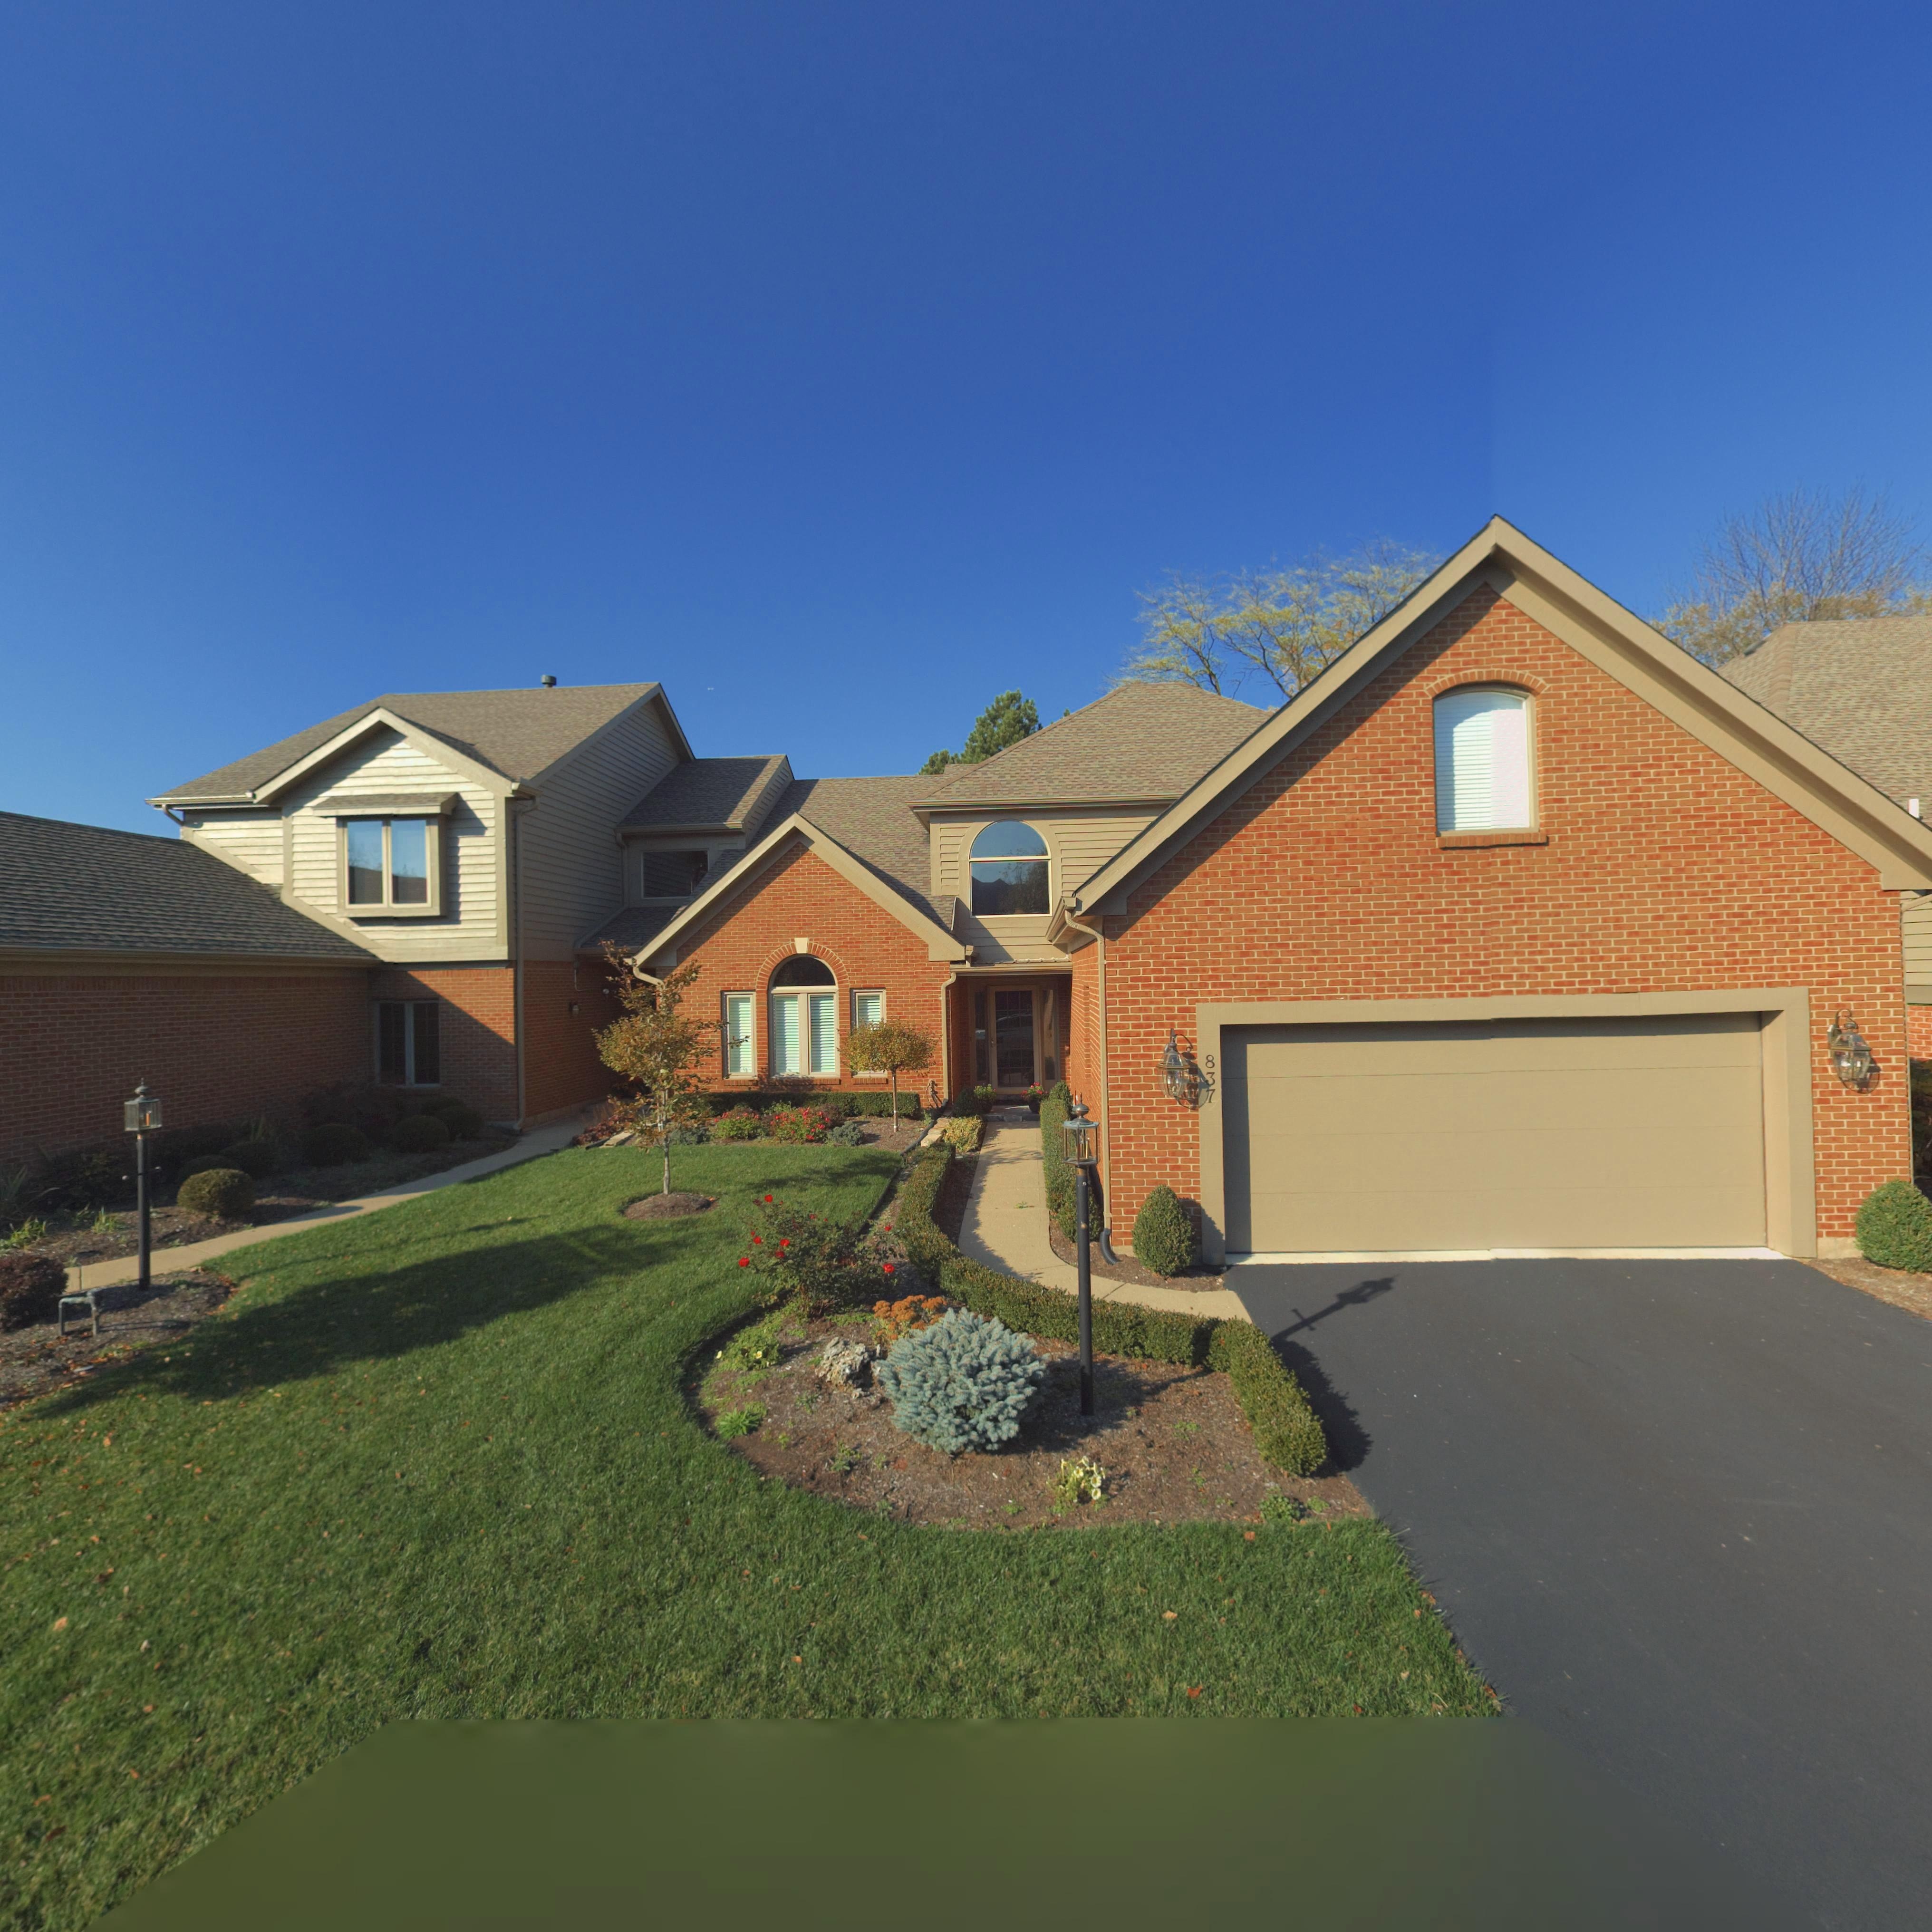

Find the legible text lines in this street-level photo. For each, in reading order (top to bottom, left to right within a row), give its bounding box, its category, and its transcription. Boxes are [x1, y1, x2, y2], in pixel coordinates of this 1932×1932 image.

[1204, 1053, 1217, 1104] StreetNumber: 837